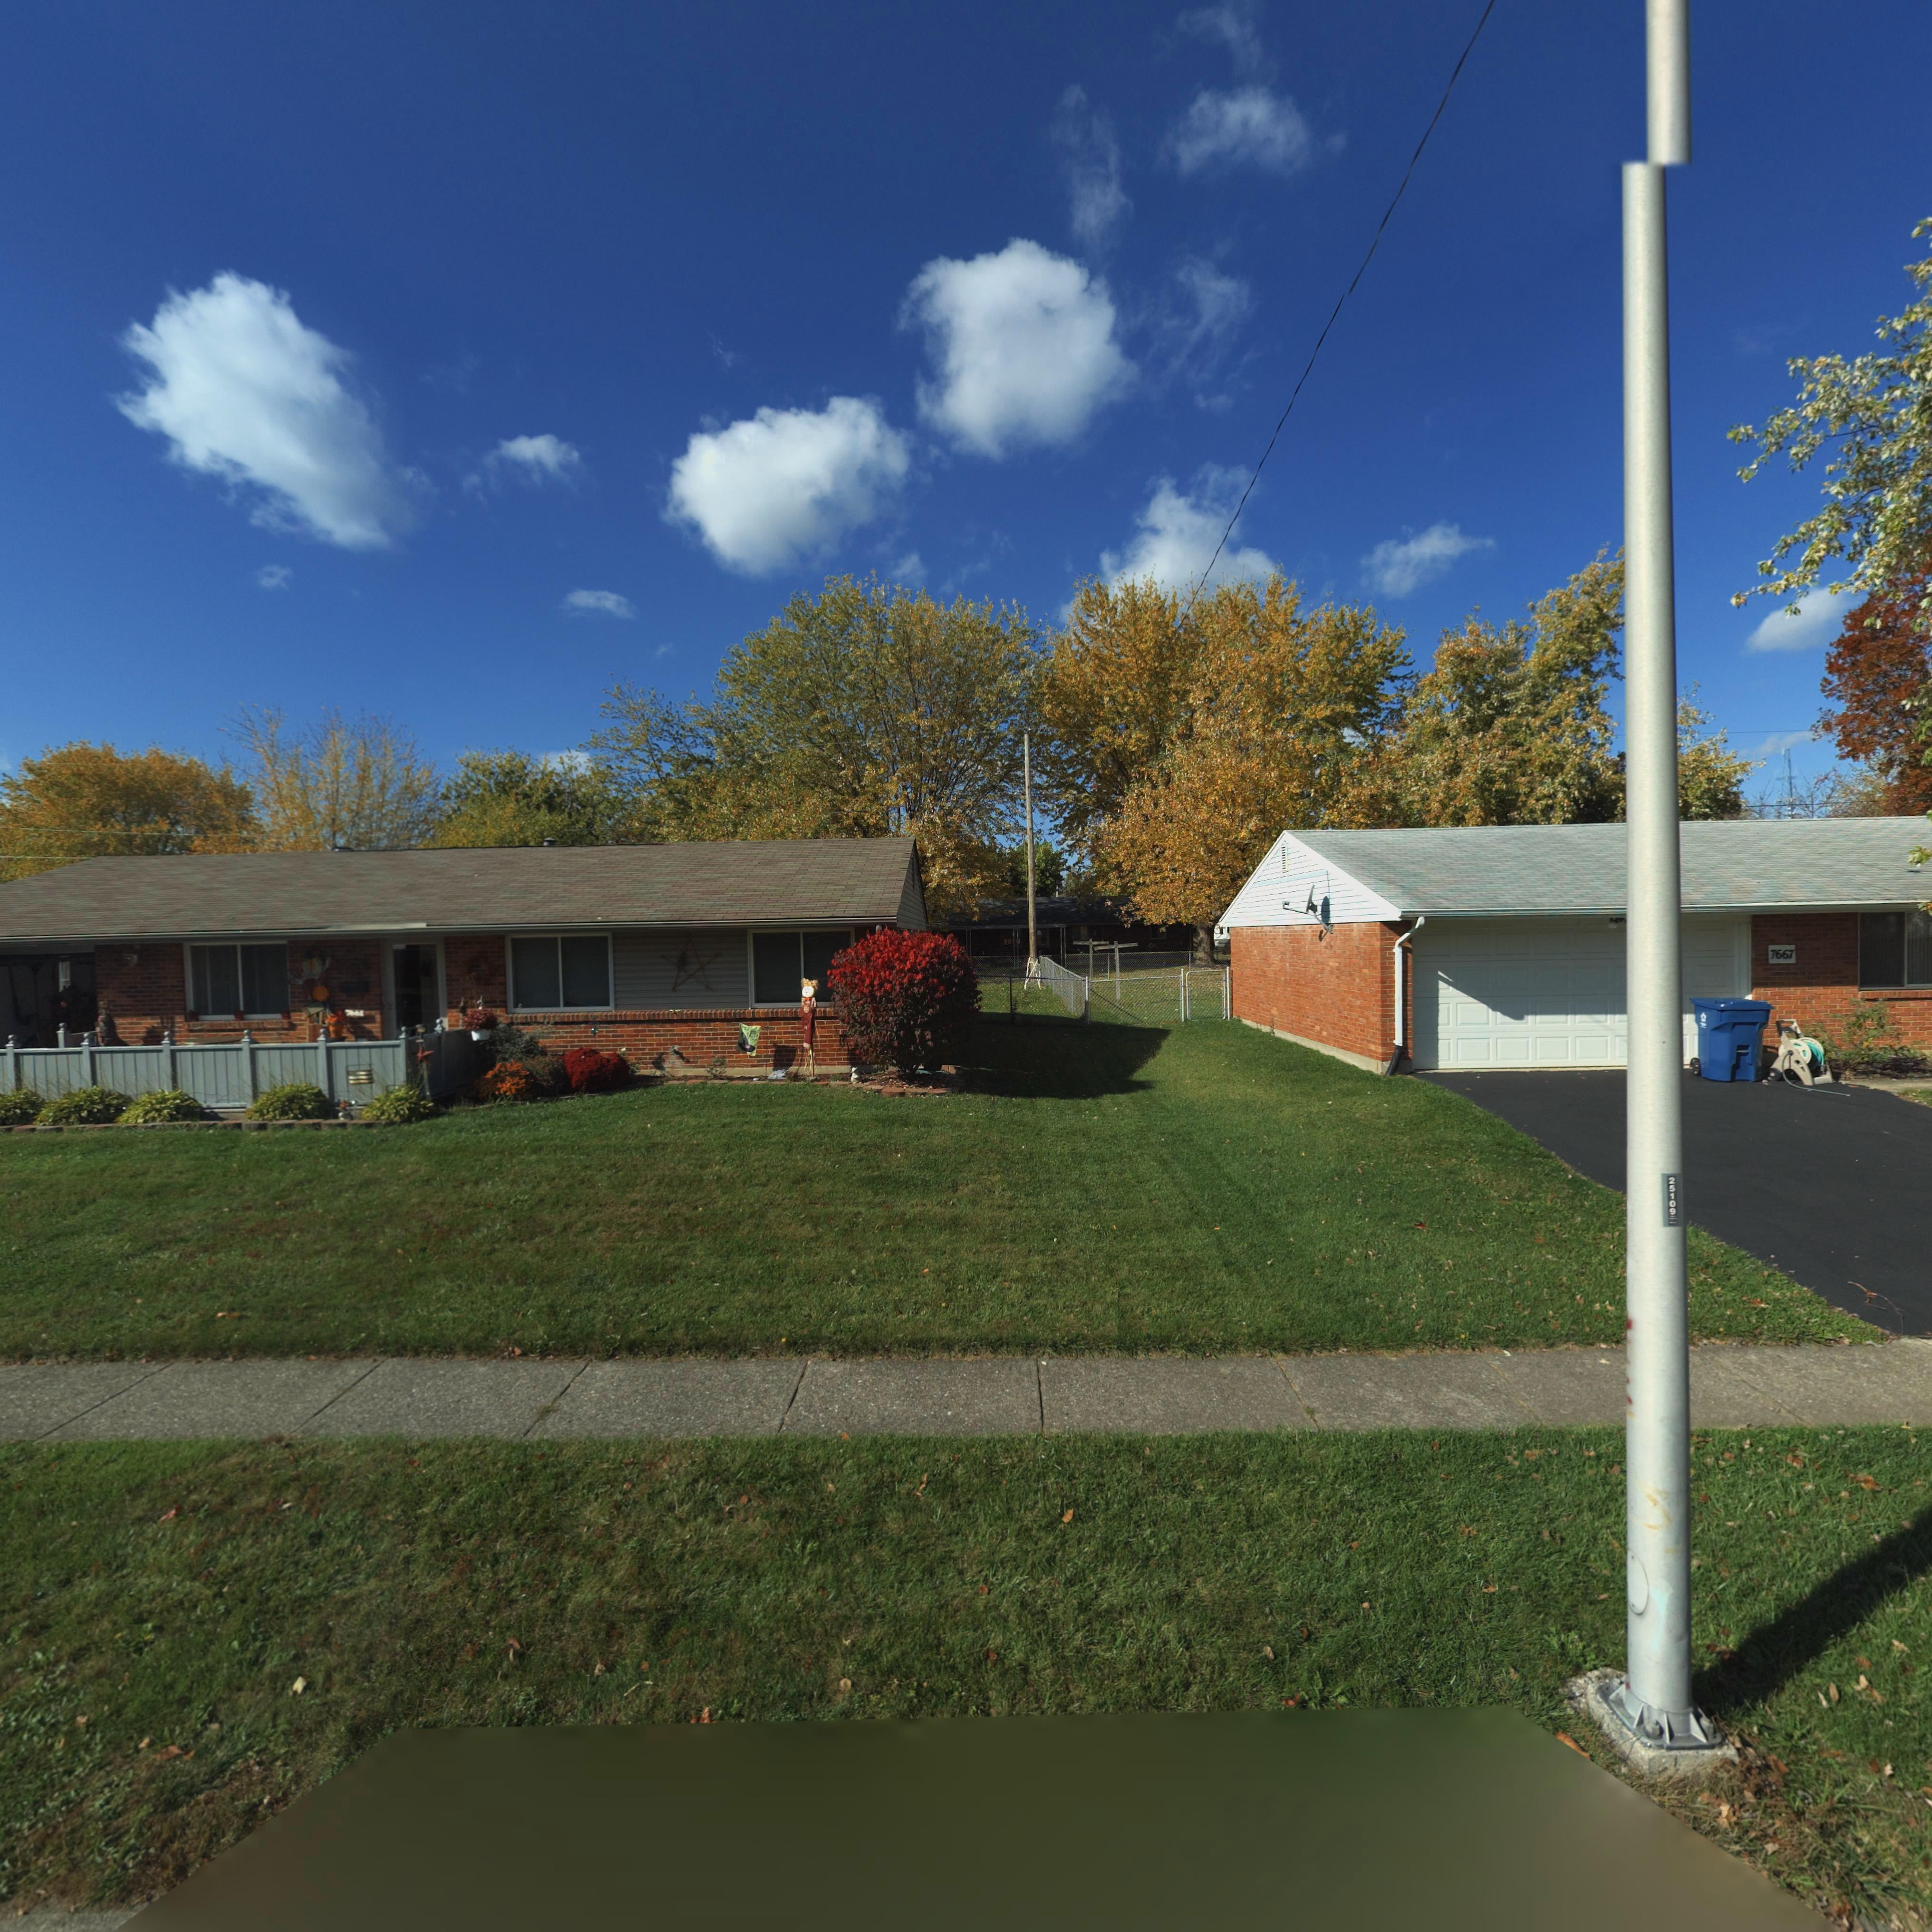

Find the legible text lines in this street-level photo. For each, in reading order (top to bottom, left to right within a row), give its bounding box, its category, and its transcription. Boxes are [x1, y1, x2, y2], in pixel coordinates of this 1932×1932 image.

[1768, 948, 1796, 961] StreetNumber: 7667
[343, 1008, 365, 1018] StreetNumber: 7661